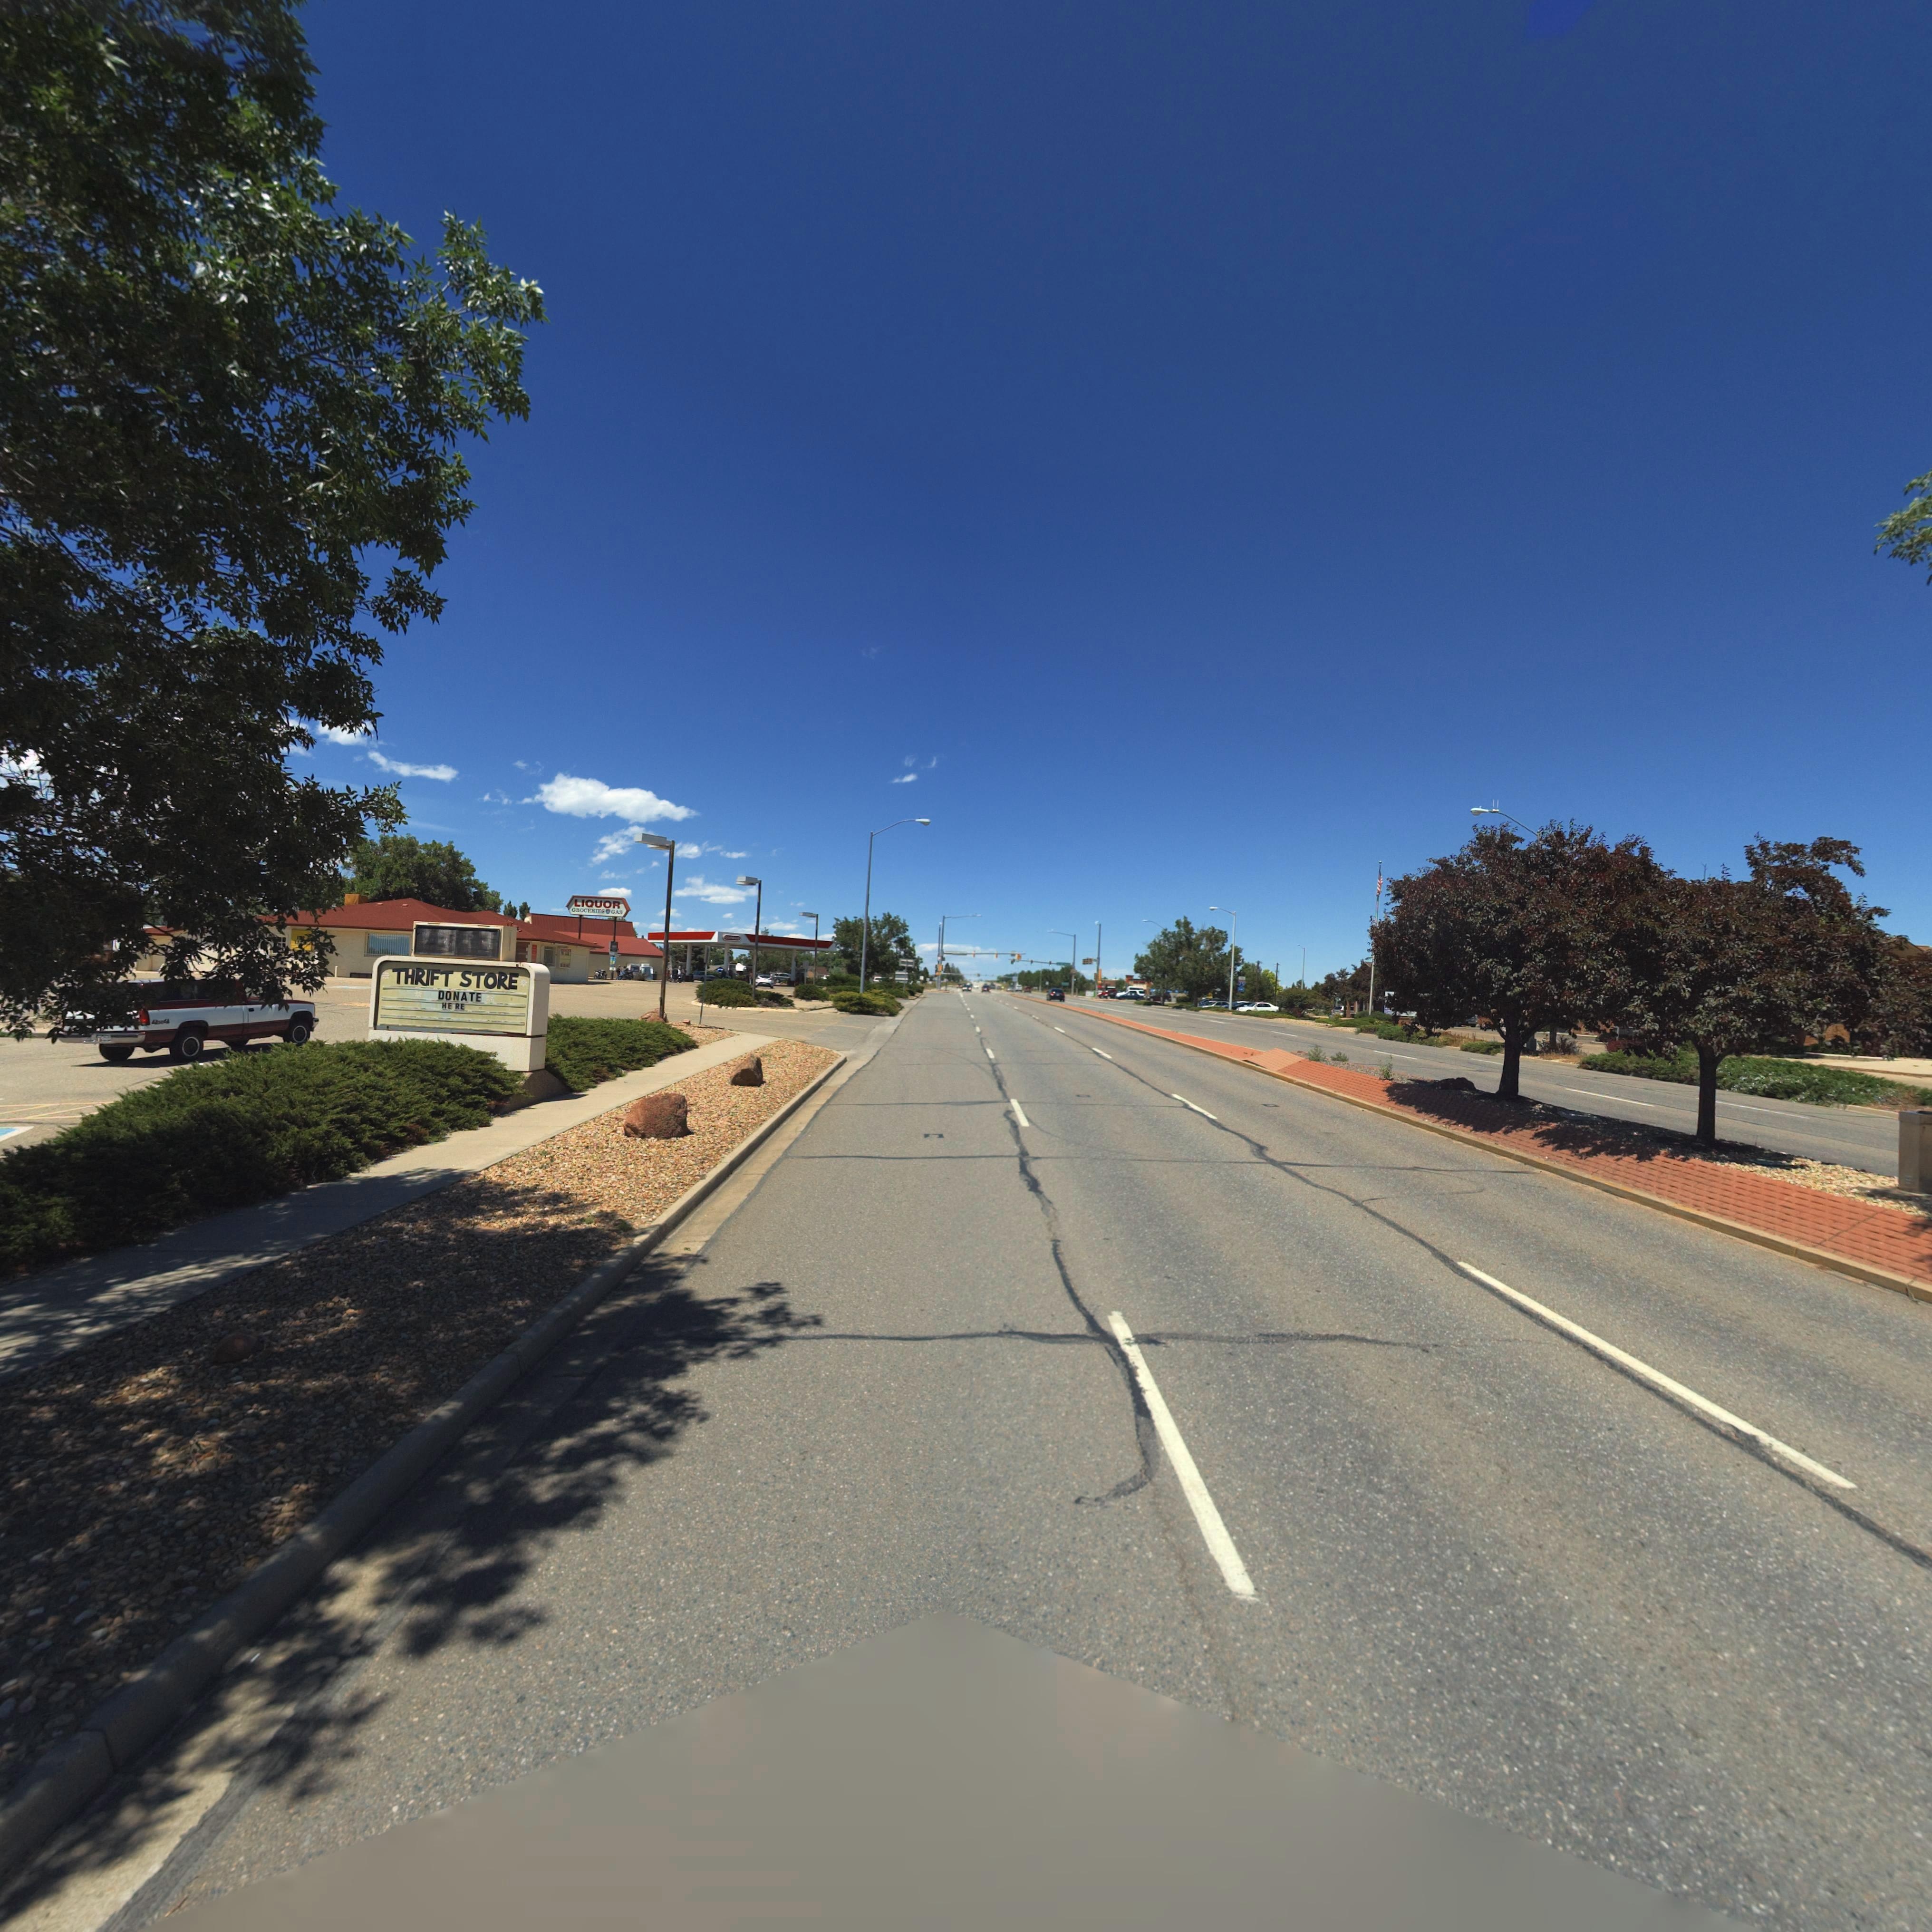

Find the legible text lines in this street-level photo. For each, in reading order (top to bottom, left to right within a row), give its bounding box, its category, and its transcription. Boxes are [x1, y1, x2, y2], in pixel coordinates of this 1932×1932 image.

[725, 936, 739, 940] BusinessName: conoco
[392, 966, 519, 990] BusinessName: THRIFT STORE